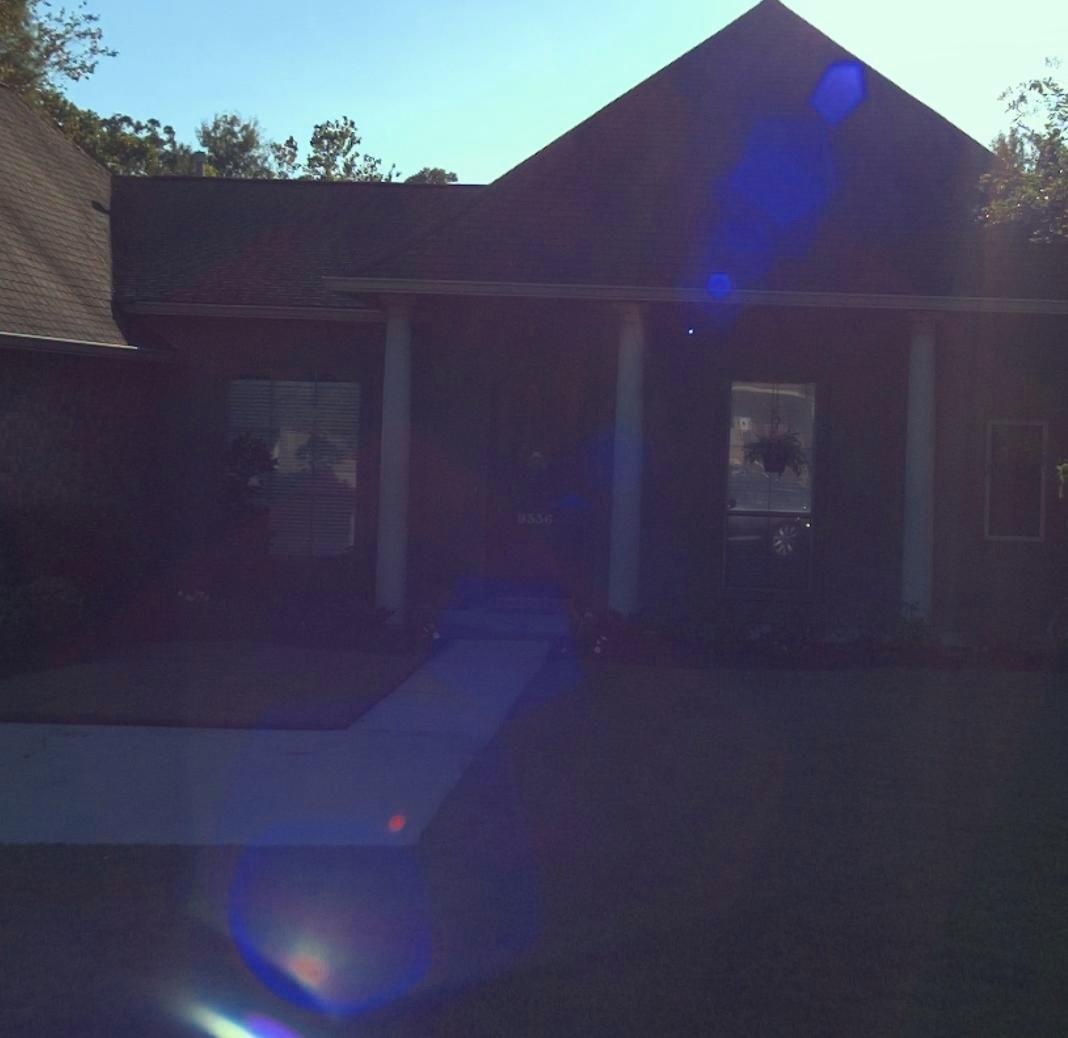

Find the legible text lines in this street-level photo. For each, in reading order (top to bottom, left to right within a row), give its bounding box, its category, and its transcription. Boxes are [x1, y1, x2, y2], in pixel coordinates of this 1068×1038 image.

[516, 512, 554, 525] StreetNumber: 9336